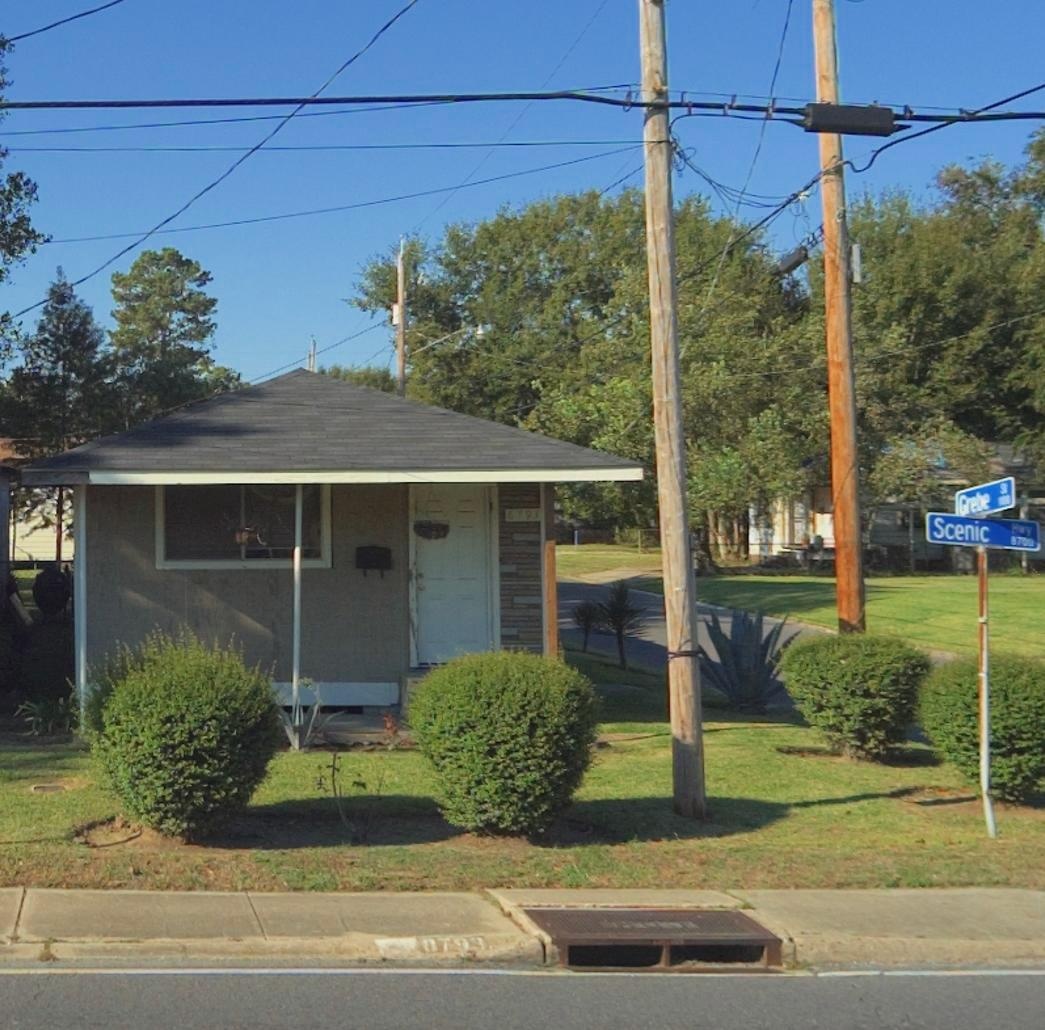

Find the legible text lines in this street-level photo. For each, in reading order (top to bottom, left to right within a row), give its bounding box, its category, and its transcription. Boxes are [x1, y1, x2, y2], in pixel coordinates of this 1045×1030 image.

[955, 479, 1014, 519] StreetName: Grebe St
[503, 507, 542, 523] StreetNumber: 8791
[930, 514, 1036, 546] StreetName: Scenic Pkwy
[1007, 533, 1037, 551] StreetNumberRange: 8700
[417, 933, 491, 959] StreetNumber: 8793